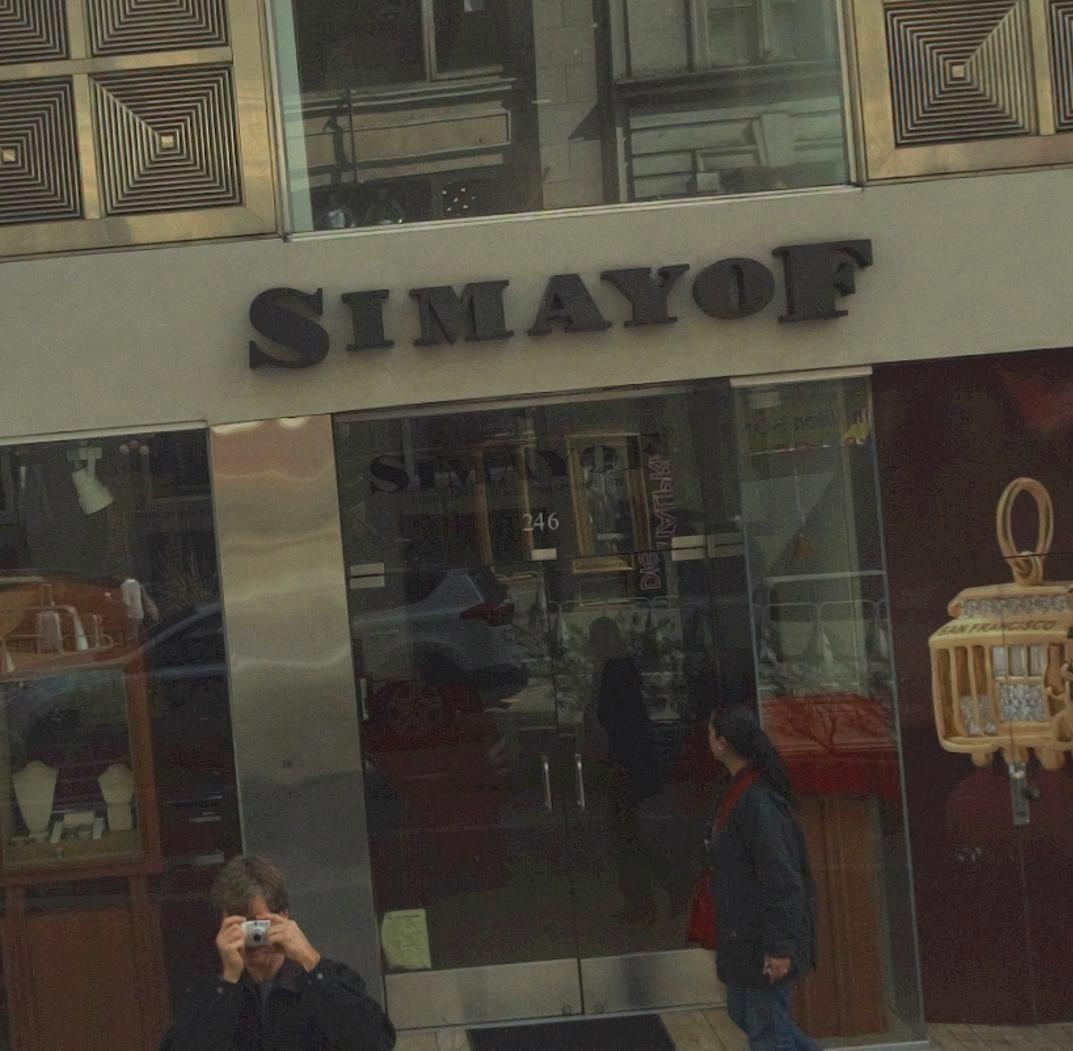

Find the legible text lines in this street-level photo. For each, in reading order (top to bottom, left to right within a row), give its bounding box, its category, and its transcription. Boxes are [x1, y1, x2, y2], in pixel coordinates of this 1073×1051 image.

[243, 232, 877, 378] BusinessName: SIMAYOF
[789, 413, 821, 434] None: no
[367, 427, 661, 499] None: SIMAYOF
[518, 509, 562, 535] StreetNumber: 246
[653, 506, 681, 539] None: ***A
[932, 617, 1063, 638] None: SAN FRANCISCO